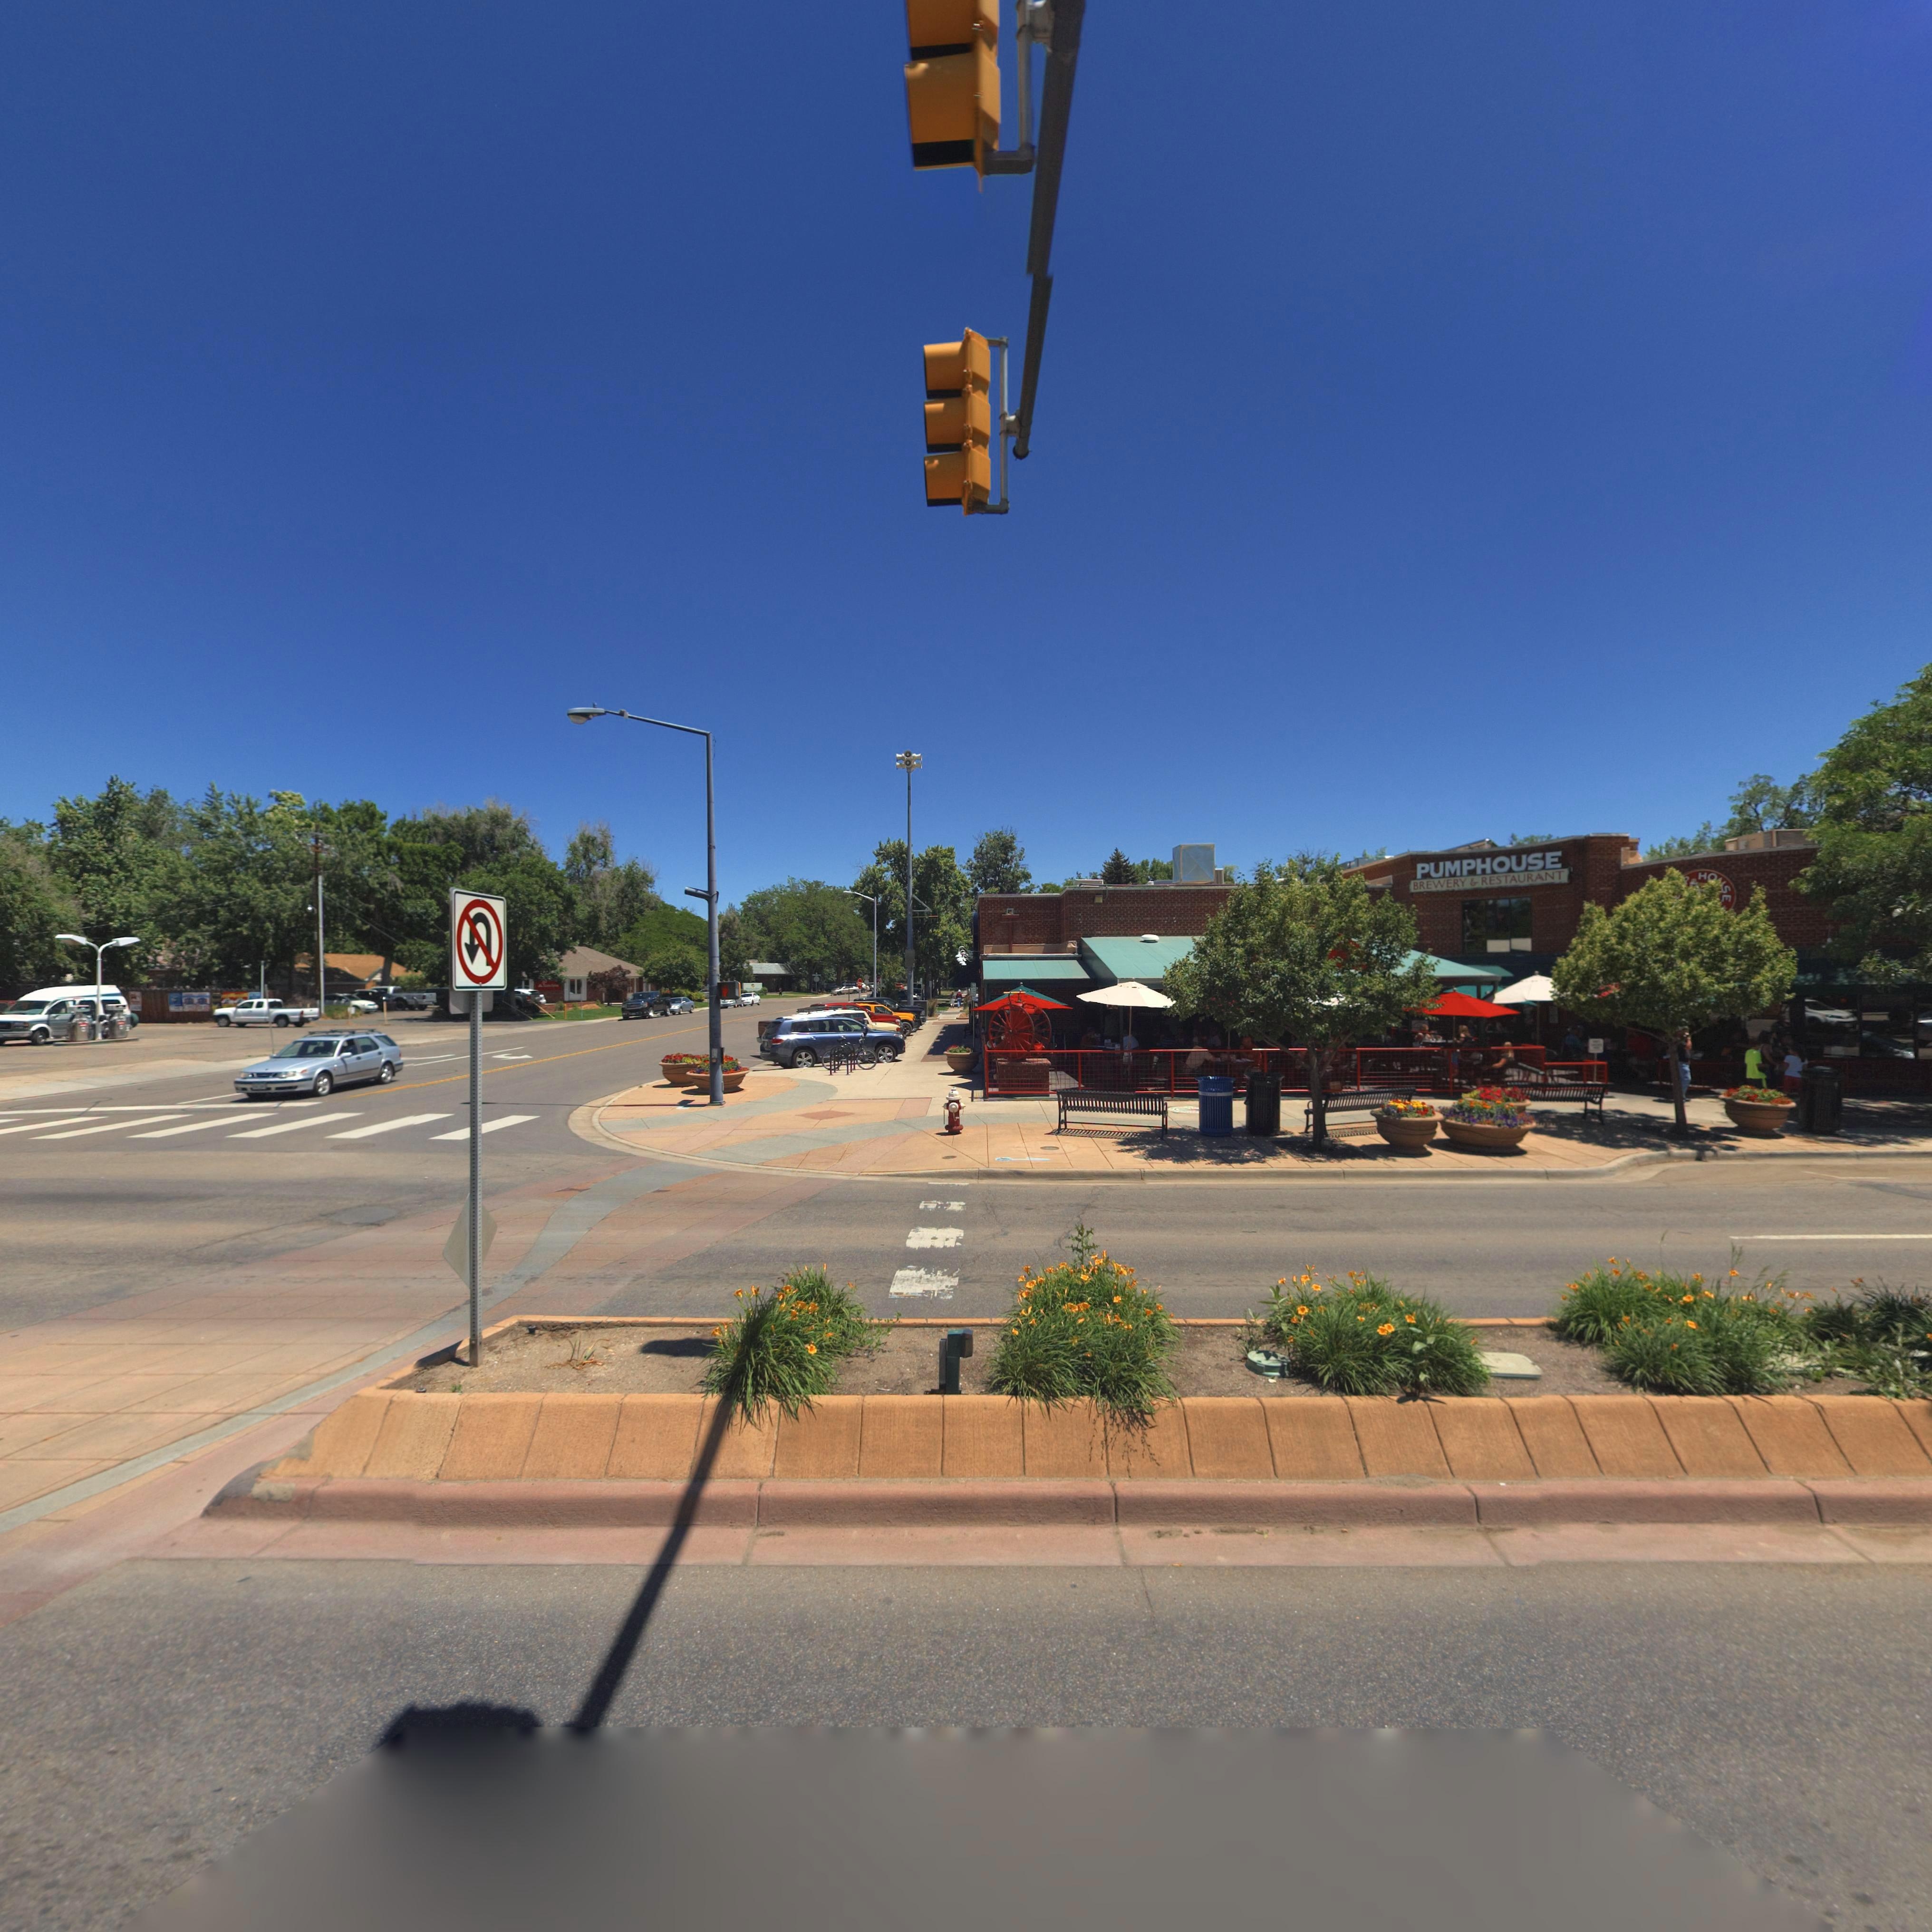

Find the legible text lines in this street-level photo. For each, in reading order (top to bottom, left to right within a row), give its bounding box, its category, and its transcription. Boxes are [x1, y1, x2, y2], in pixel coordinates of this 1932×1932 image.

[1416, 849, 1562, 879] BusinessName: PUMPHOUSE
[1412, 870, 1564, 890] BusinessName: BREWERY & RESTAURANT
[1697, 870, 1732, 903] BusinessName: HO*SE